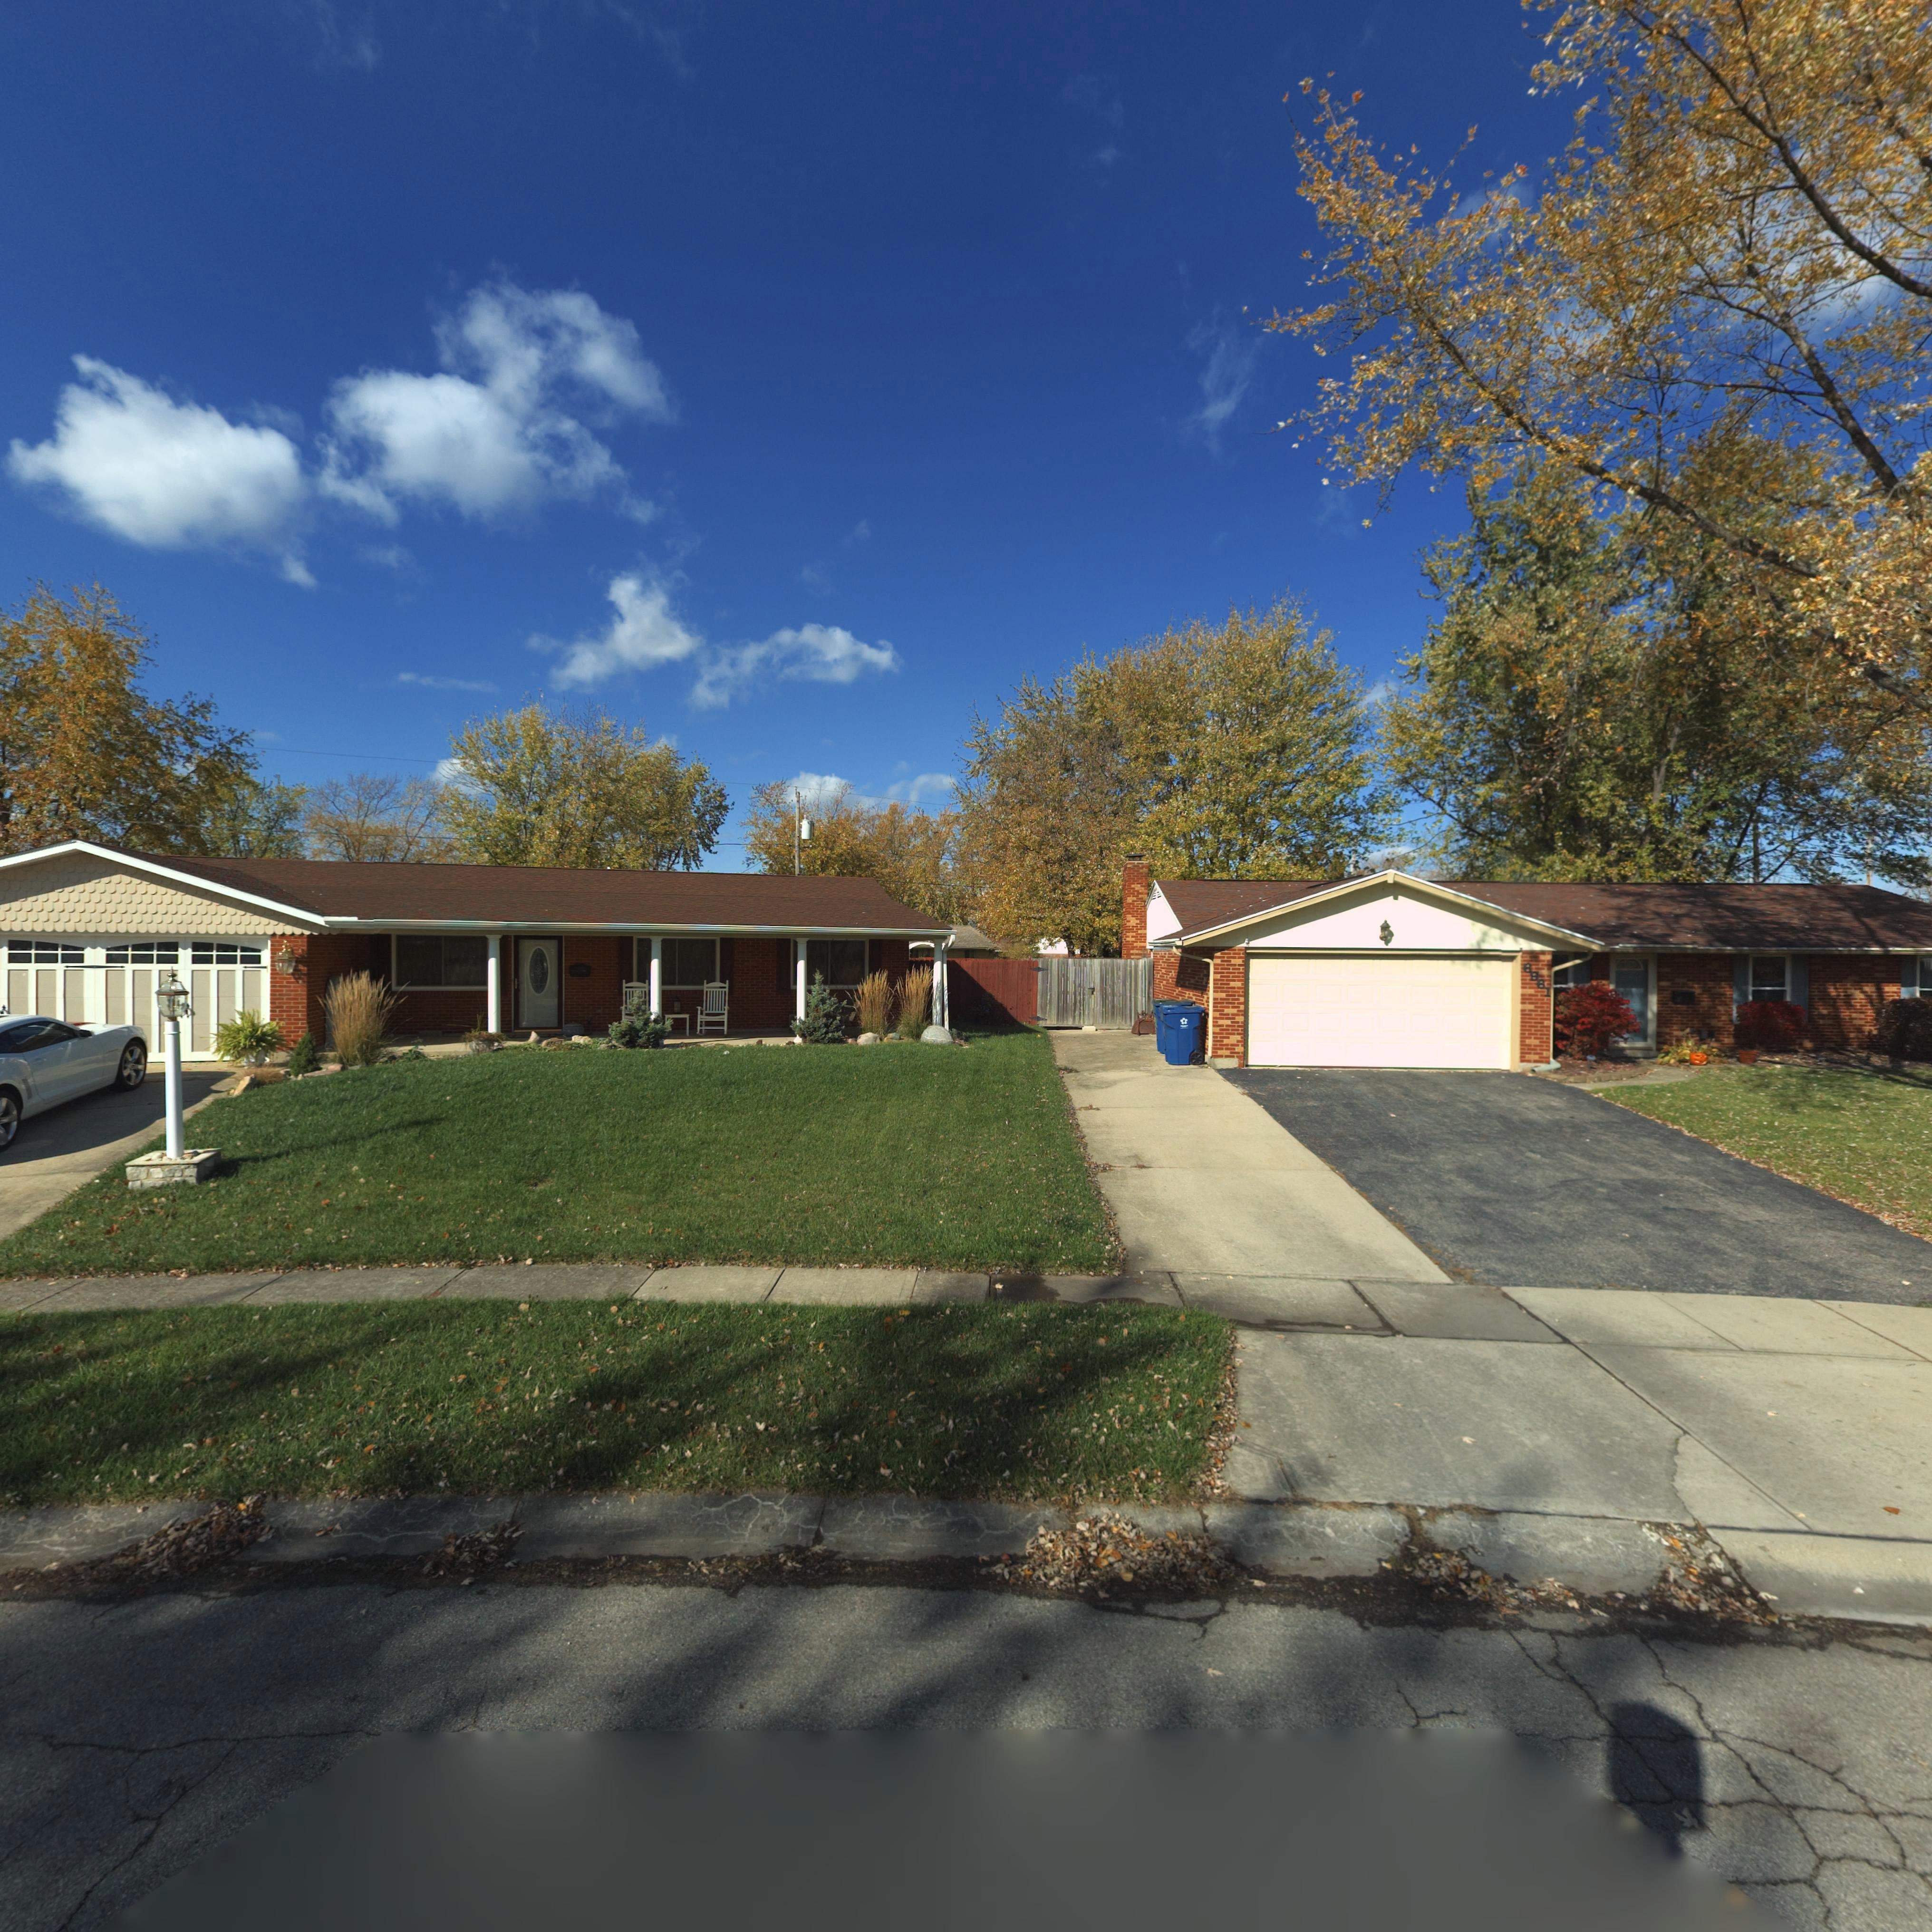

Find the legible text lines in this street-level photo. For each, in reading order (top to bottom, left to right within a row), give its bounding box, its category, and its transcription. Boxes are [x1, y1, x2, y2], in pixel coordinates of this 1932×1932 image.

[1522, 961, 1551, 998] StreetNumber: 6961